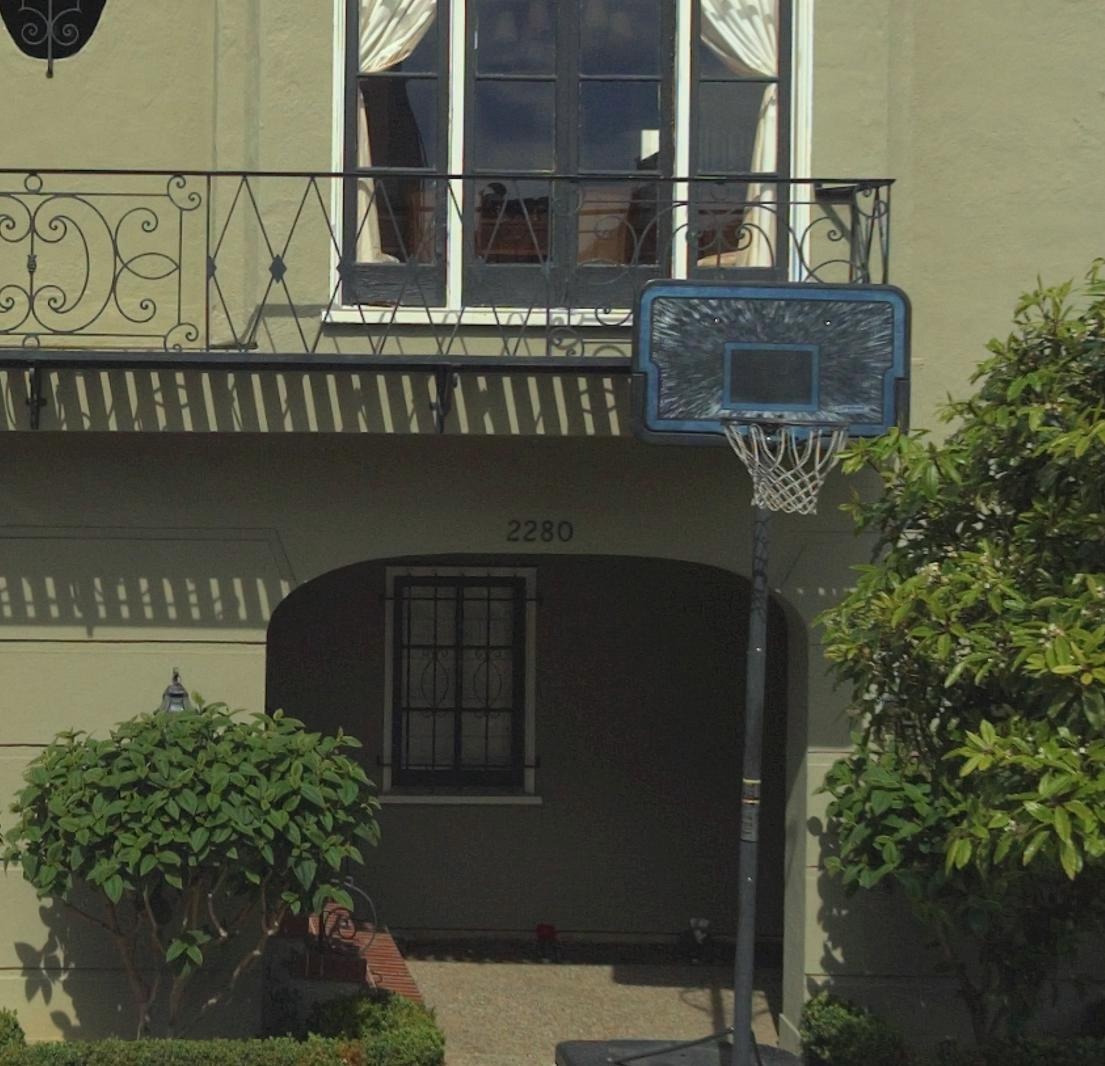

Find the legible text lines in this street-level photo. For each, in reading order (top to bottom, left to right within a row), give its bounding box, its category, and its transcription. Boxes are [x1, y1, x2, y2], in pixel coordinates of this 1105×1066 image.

[503, 517, 576, 545] StreetNumber: 2280